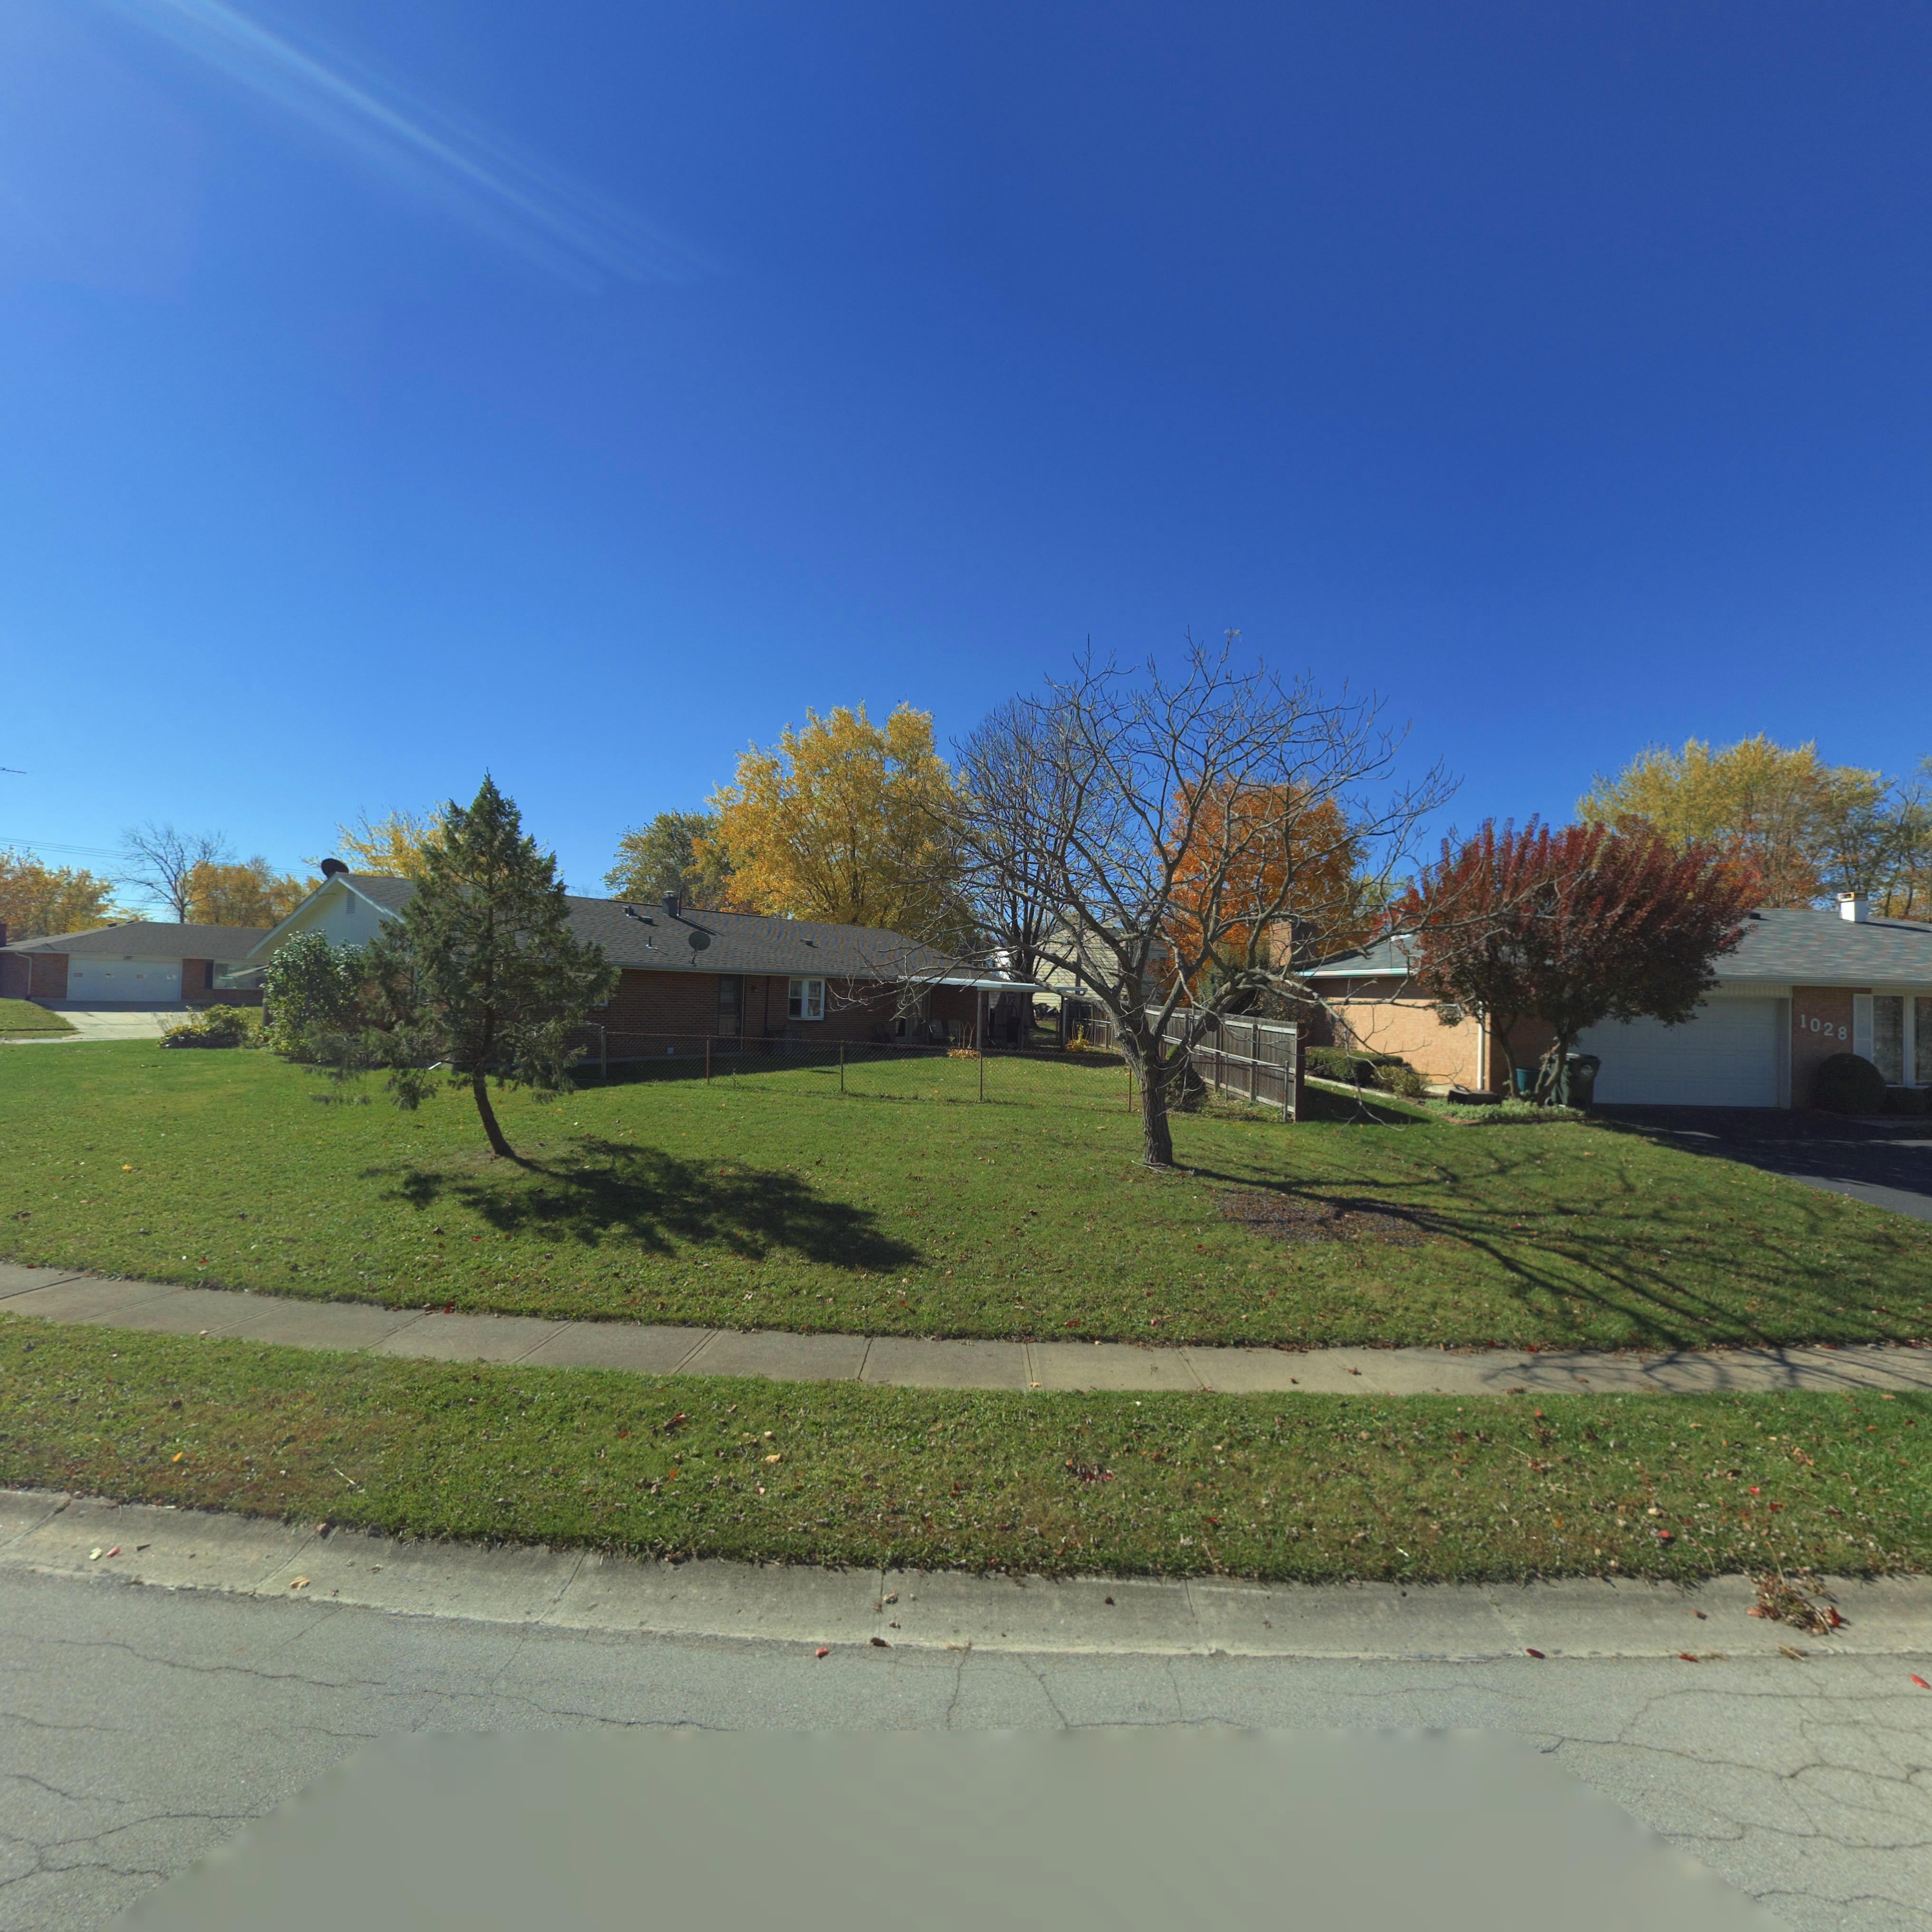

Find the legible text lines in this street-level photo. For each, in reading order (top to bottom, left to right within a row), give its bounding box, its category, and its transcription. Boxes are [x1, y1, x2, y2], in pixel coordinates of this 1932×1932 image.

[1799, 1014, 1847, 1041] StreetNumber: 1028